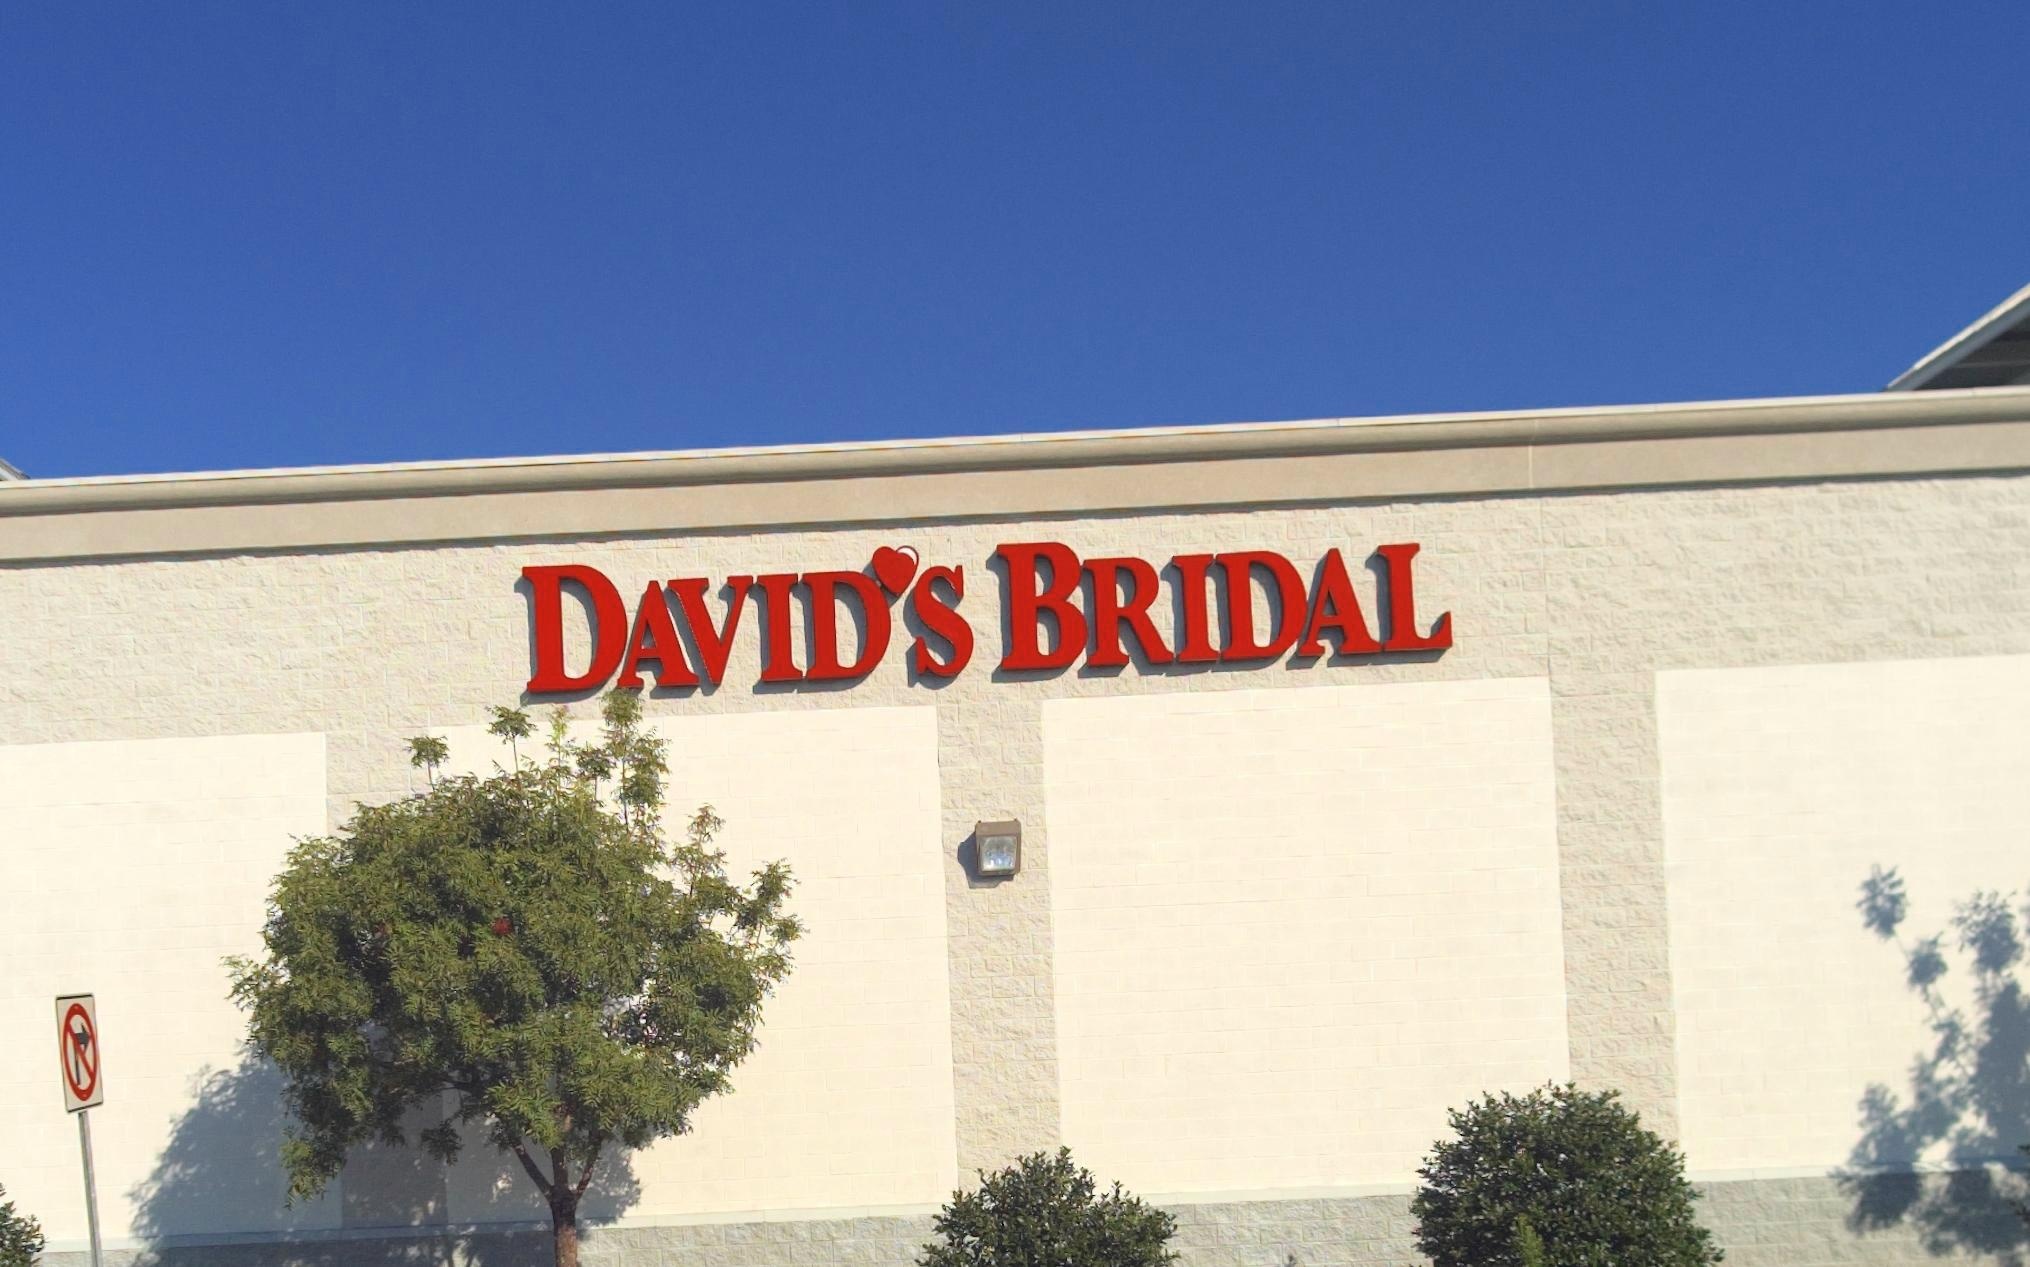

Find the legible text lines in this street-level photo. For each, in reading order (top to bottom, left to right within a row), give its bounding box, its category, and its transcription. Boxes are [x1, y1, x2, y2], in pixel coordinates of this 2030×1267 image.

[519, 533, 1458, 698] BusinessName: DAVID*S BRIDEL